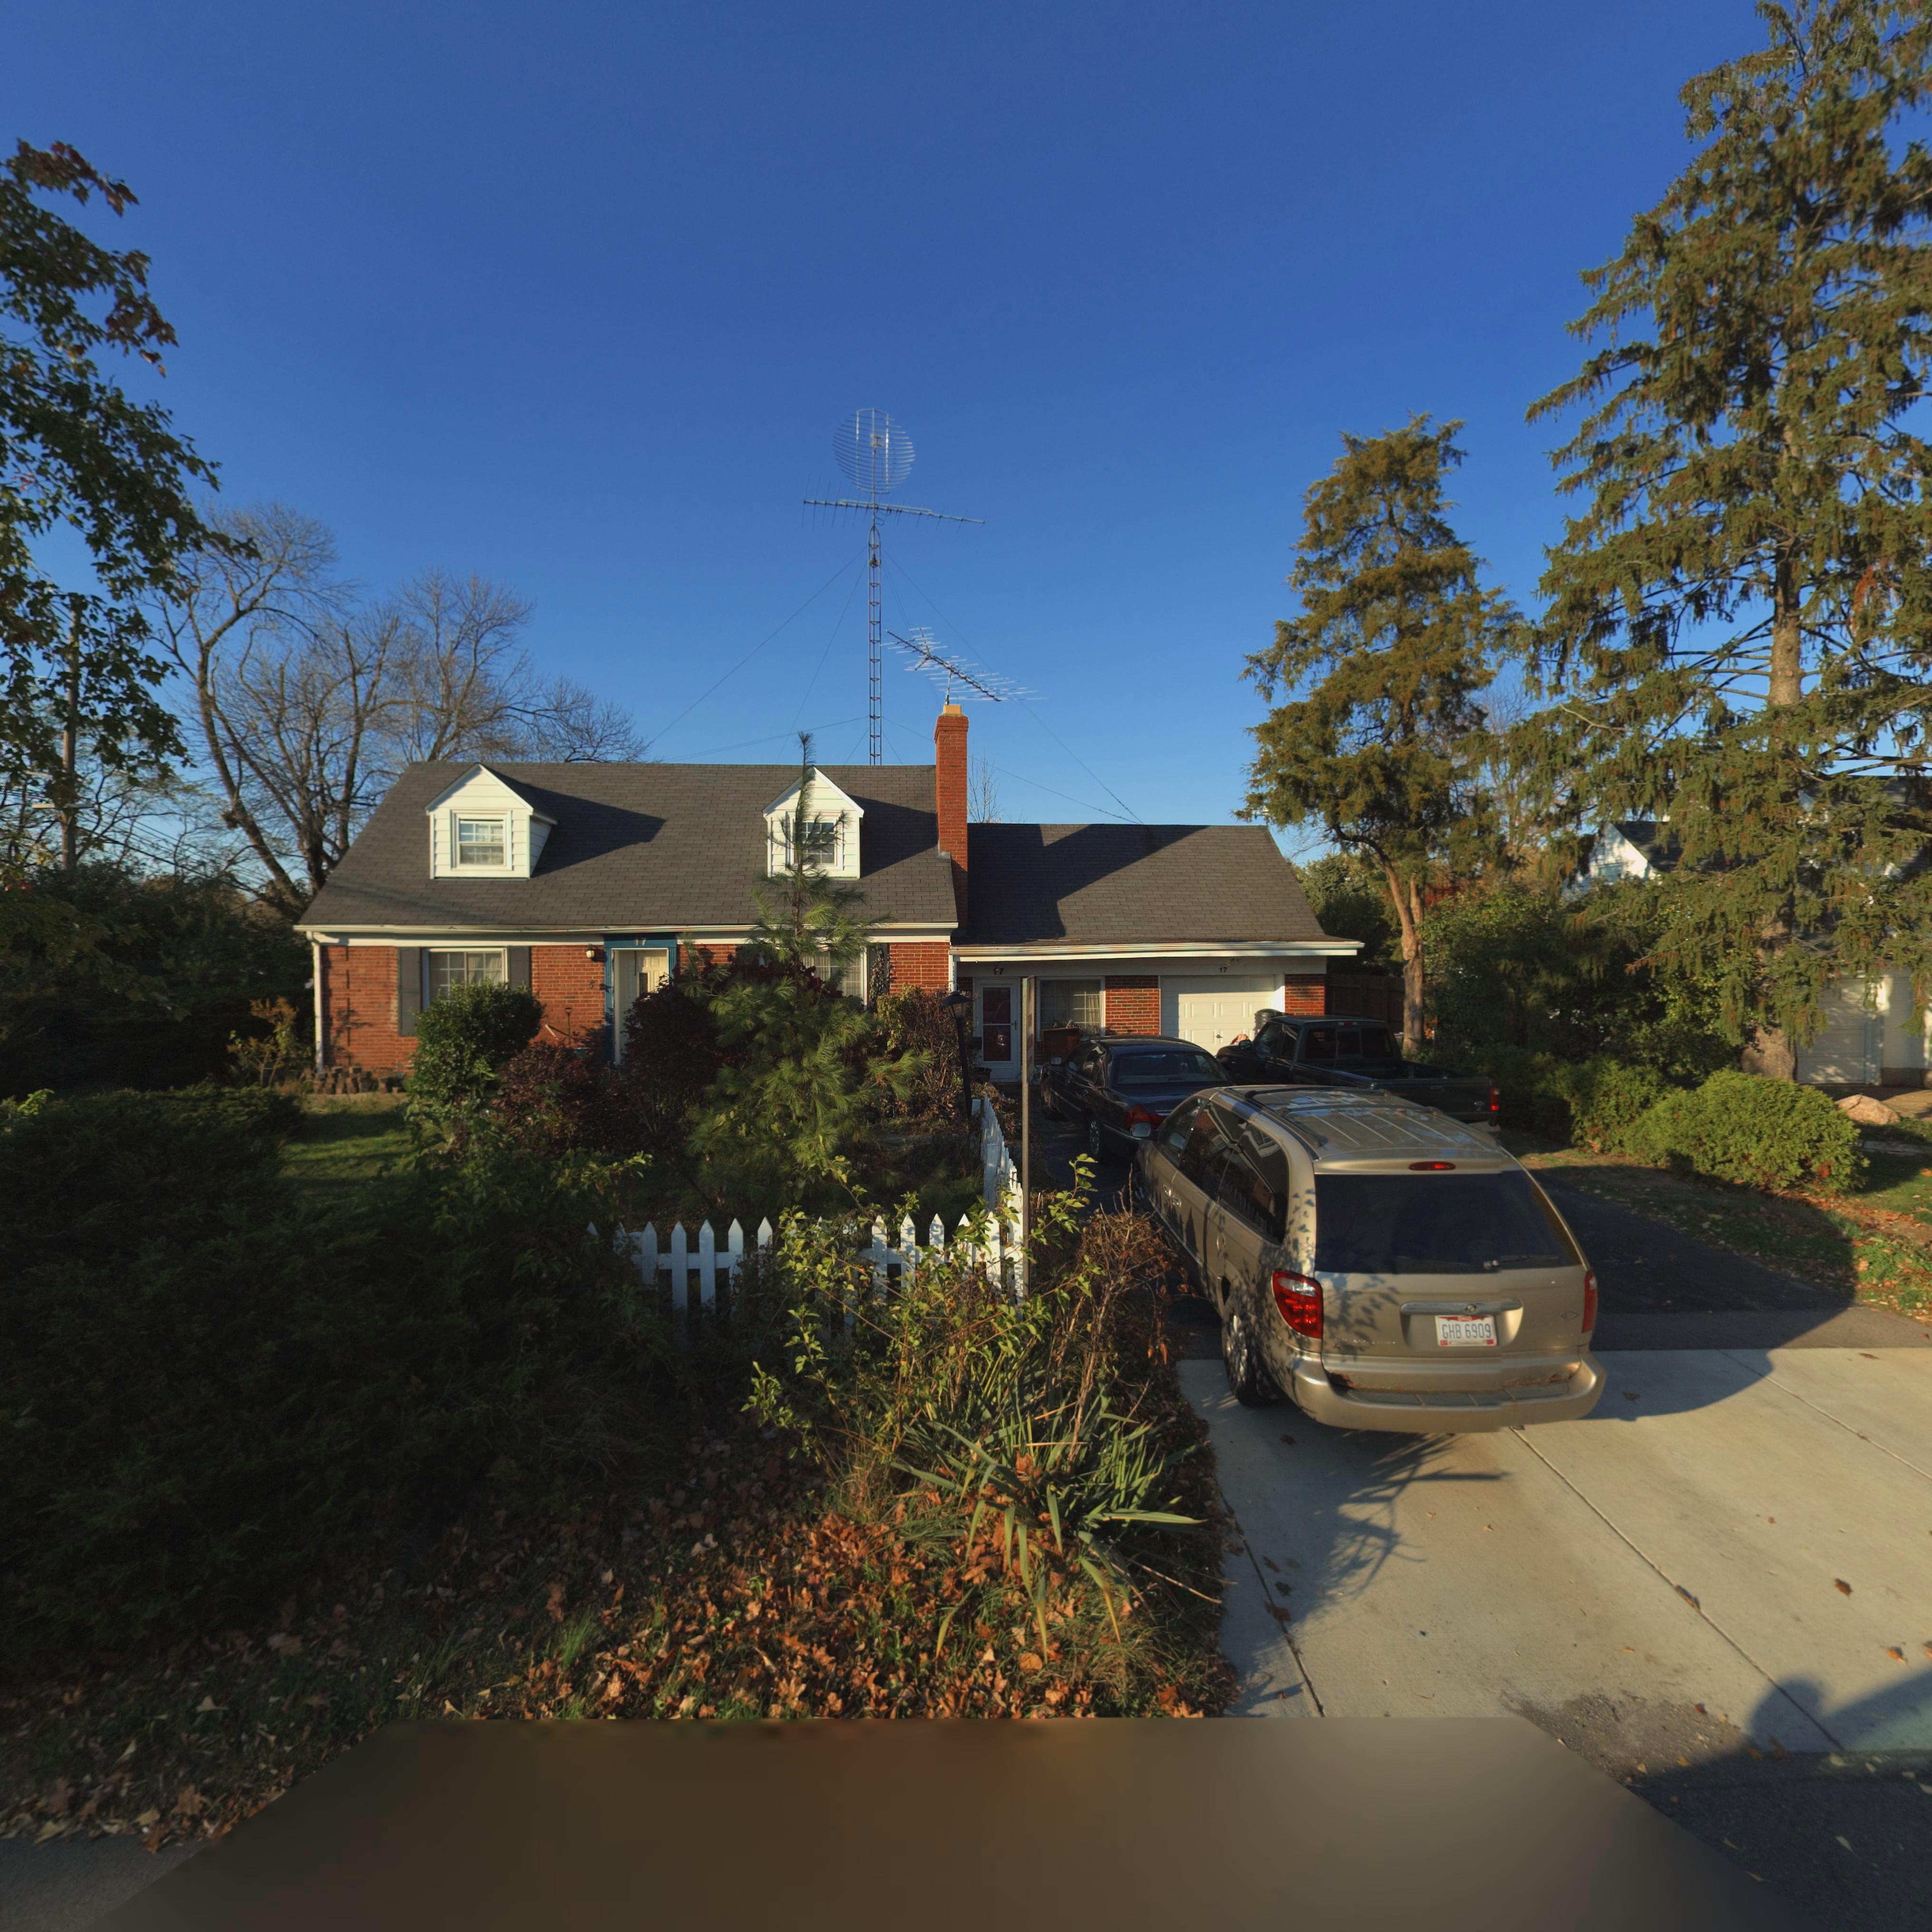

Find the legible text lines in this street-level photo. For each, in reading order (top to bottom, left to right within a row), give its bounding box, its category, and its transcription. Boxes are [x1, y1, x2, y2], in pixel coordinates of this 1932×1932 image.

[633, 936, 647, 947] StreetNumber: 17
[992, 967, 1005, 976] StreetNumber: 17
[1218, 966, 1228, 974] StreetNumber: 17